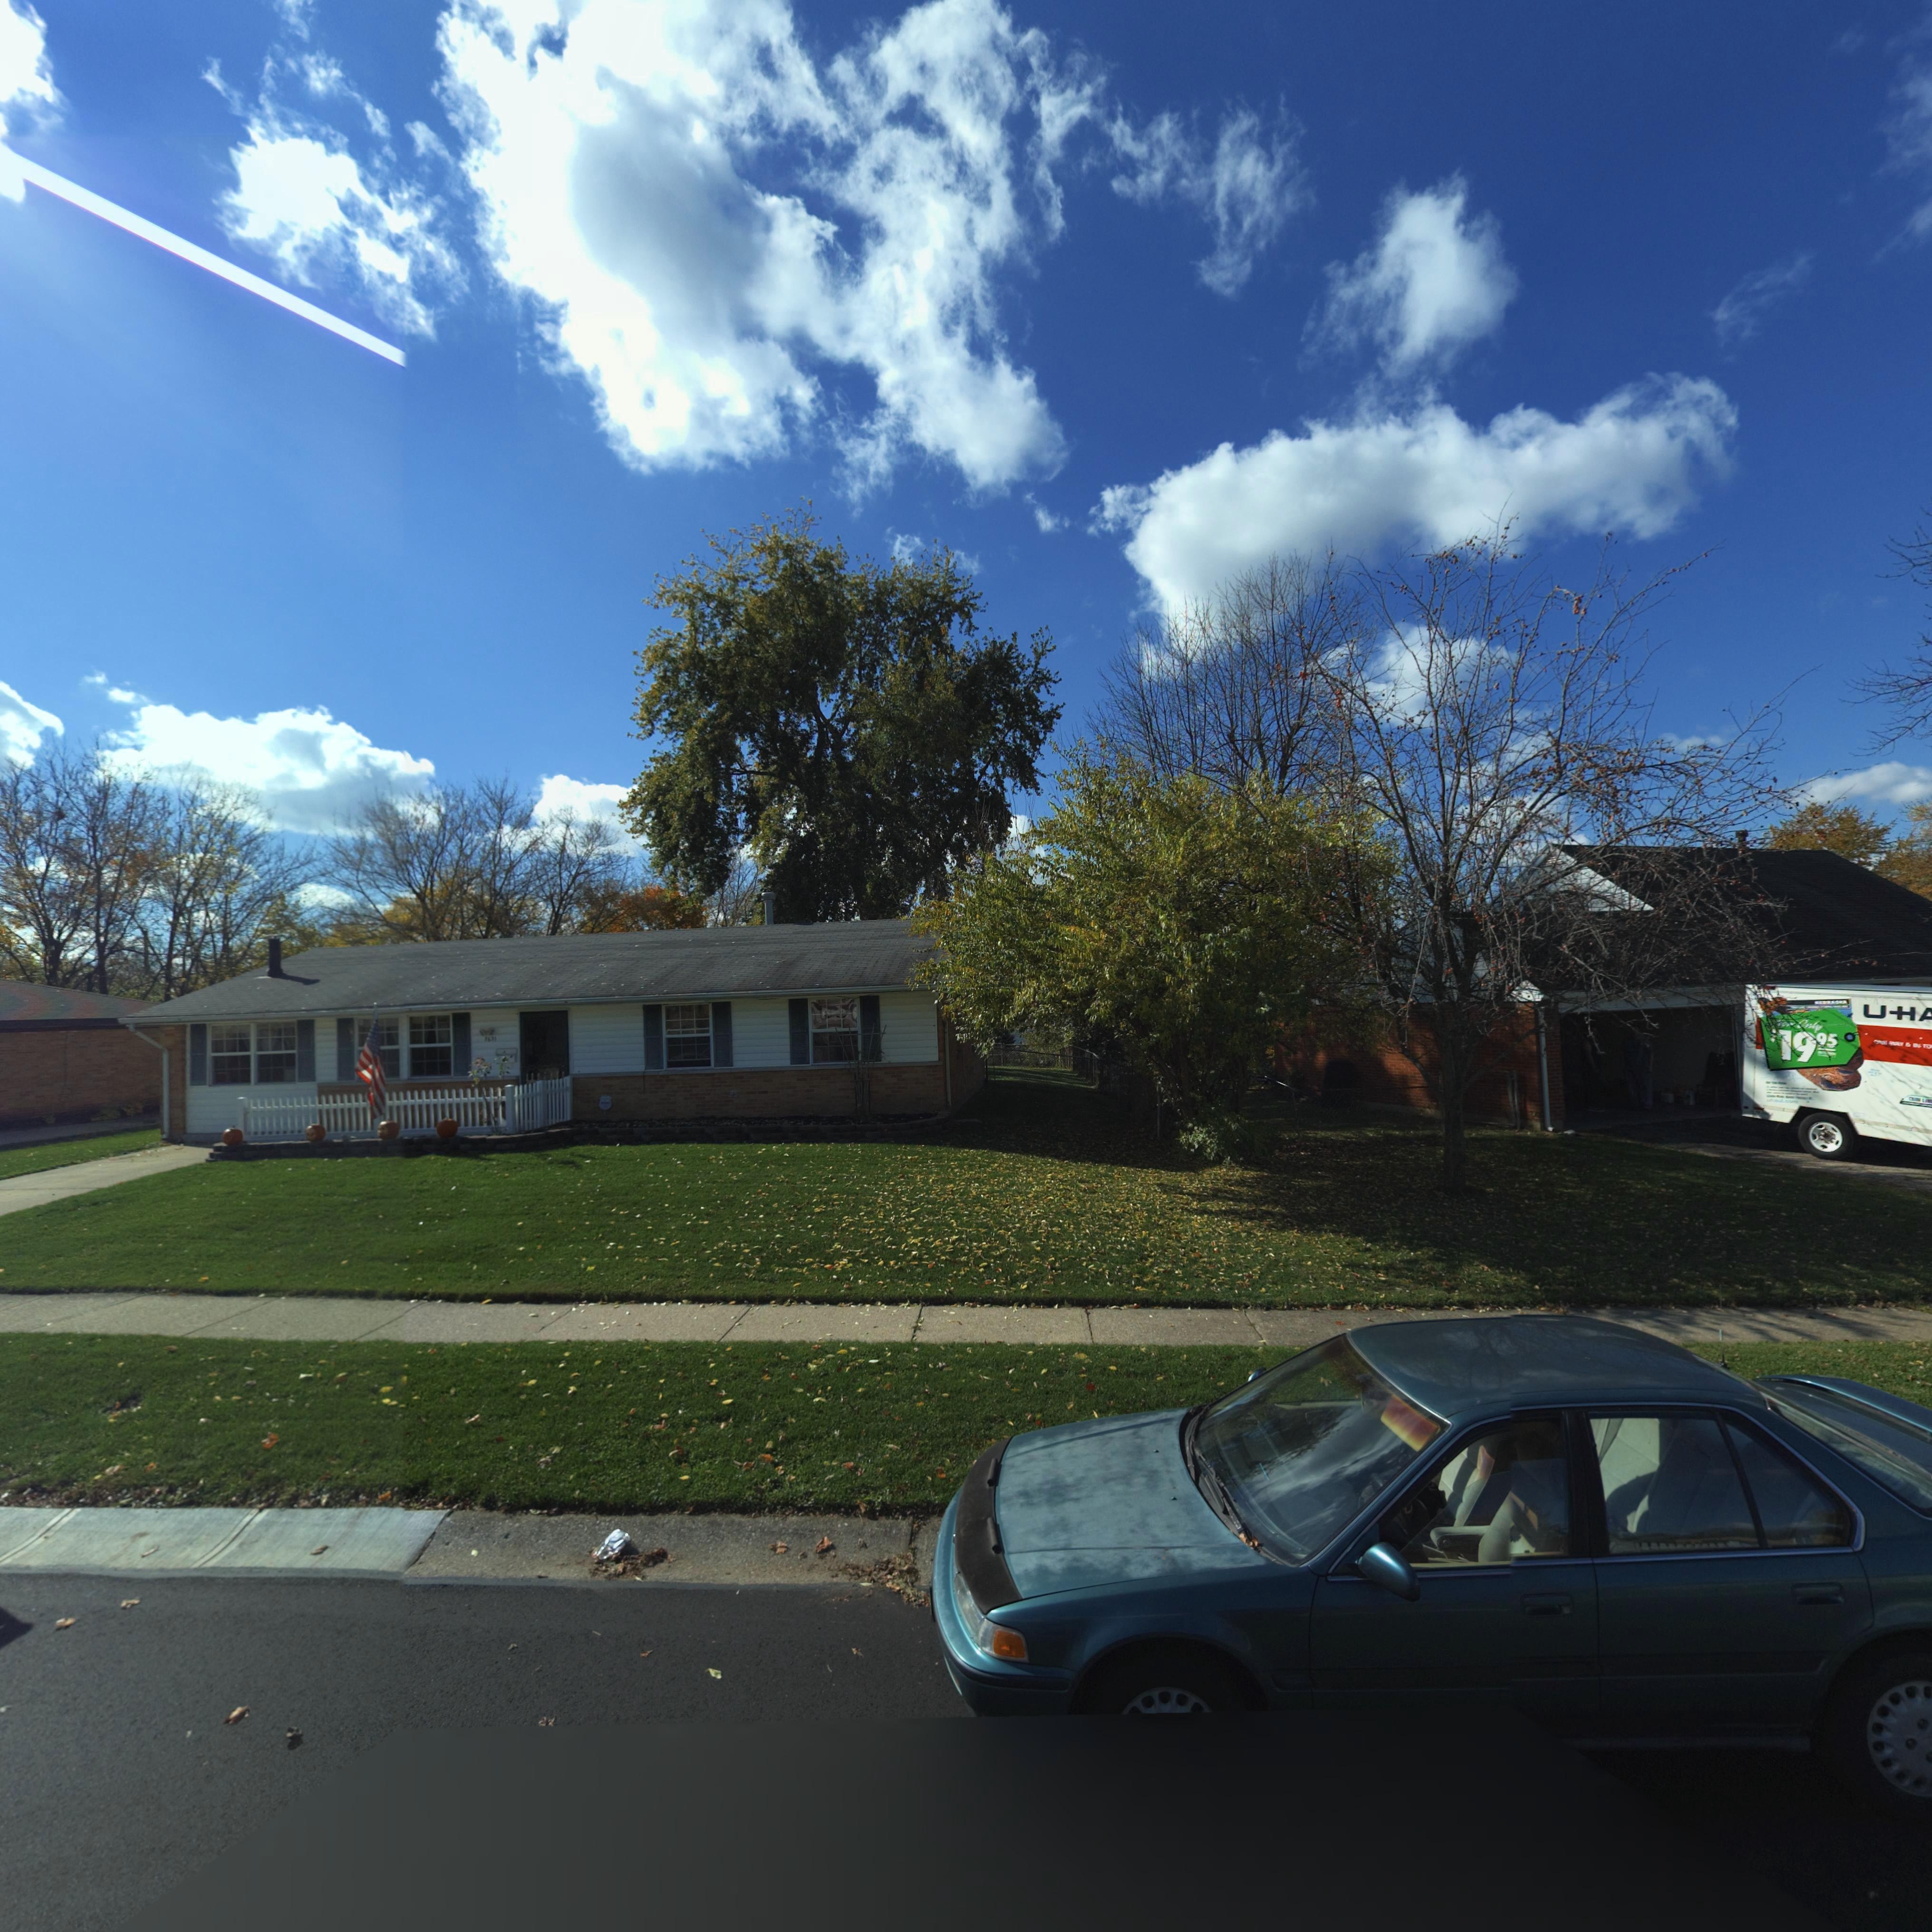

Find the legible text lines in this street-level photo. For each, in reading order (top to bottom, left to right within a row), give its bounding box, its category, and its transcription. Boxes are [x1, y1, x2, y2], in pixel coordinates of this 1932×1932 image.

[484, 1035, 497, 1042] StreetNumber: 7631